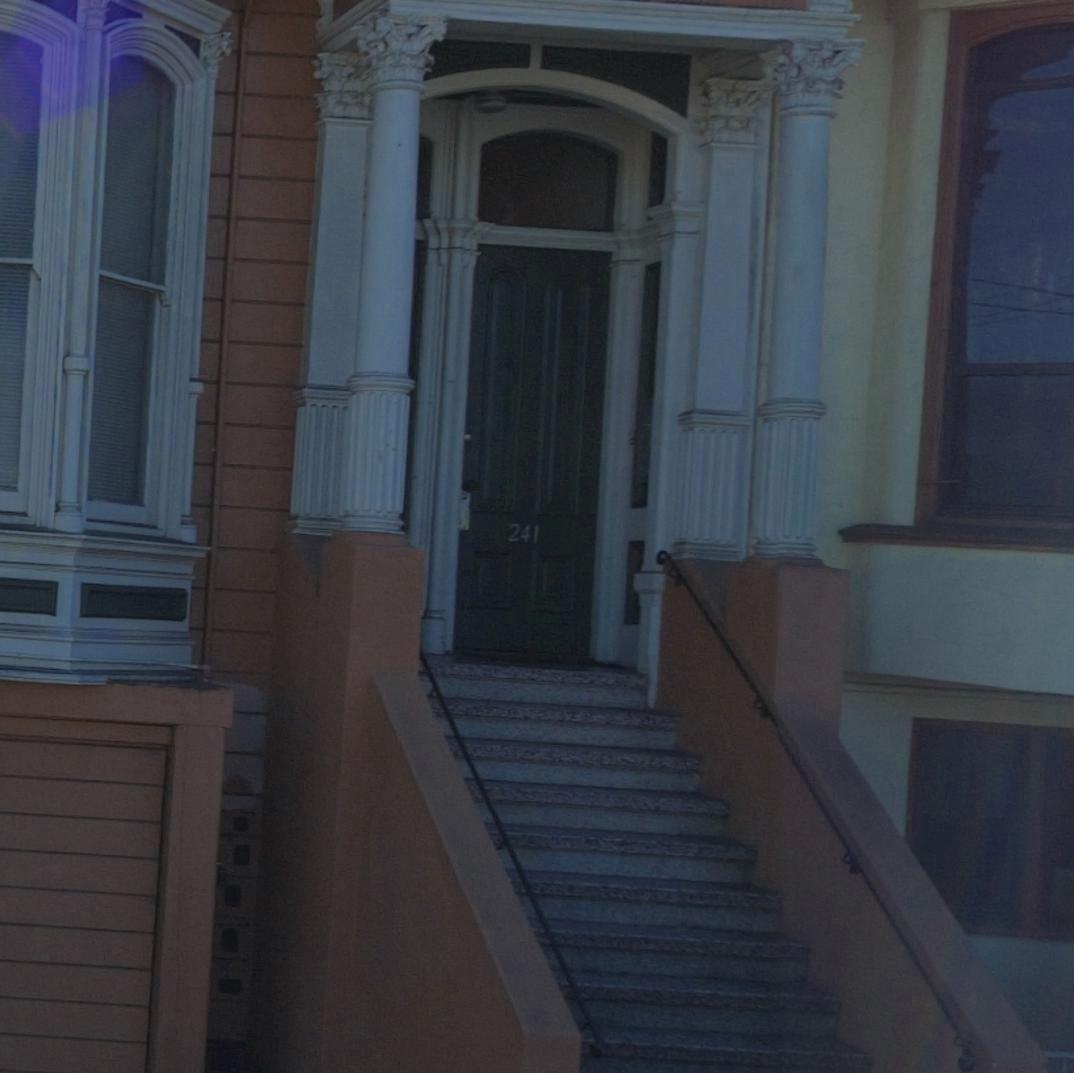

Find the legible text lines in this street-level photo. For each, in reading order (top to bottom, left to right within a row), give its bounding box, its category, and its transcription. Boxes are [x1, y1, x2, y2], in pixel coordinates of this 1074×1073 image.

[504, 520, 541, 546] StreetNumber: 241